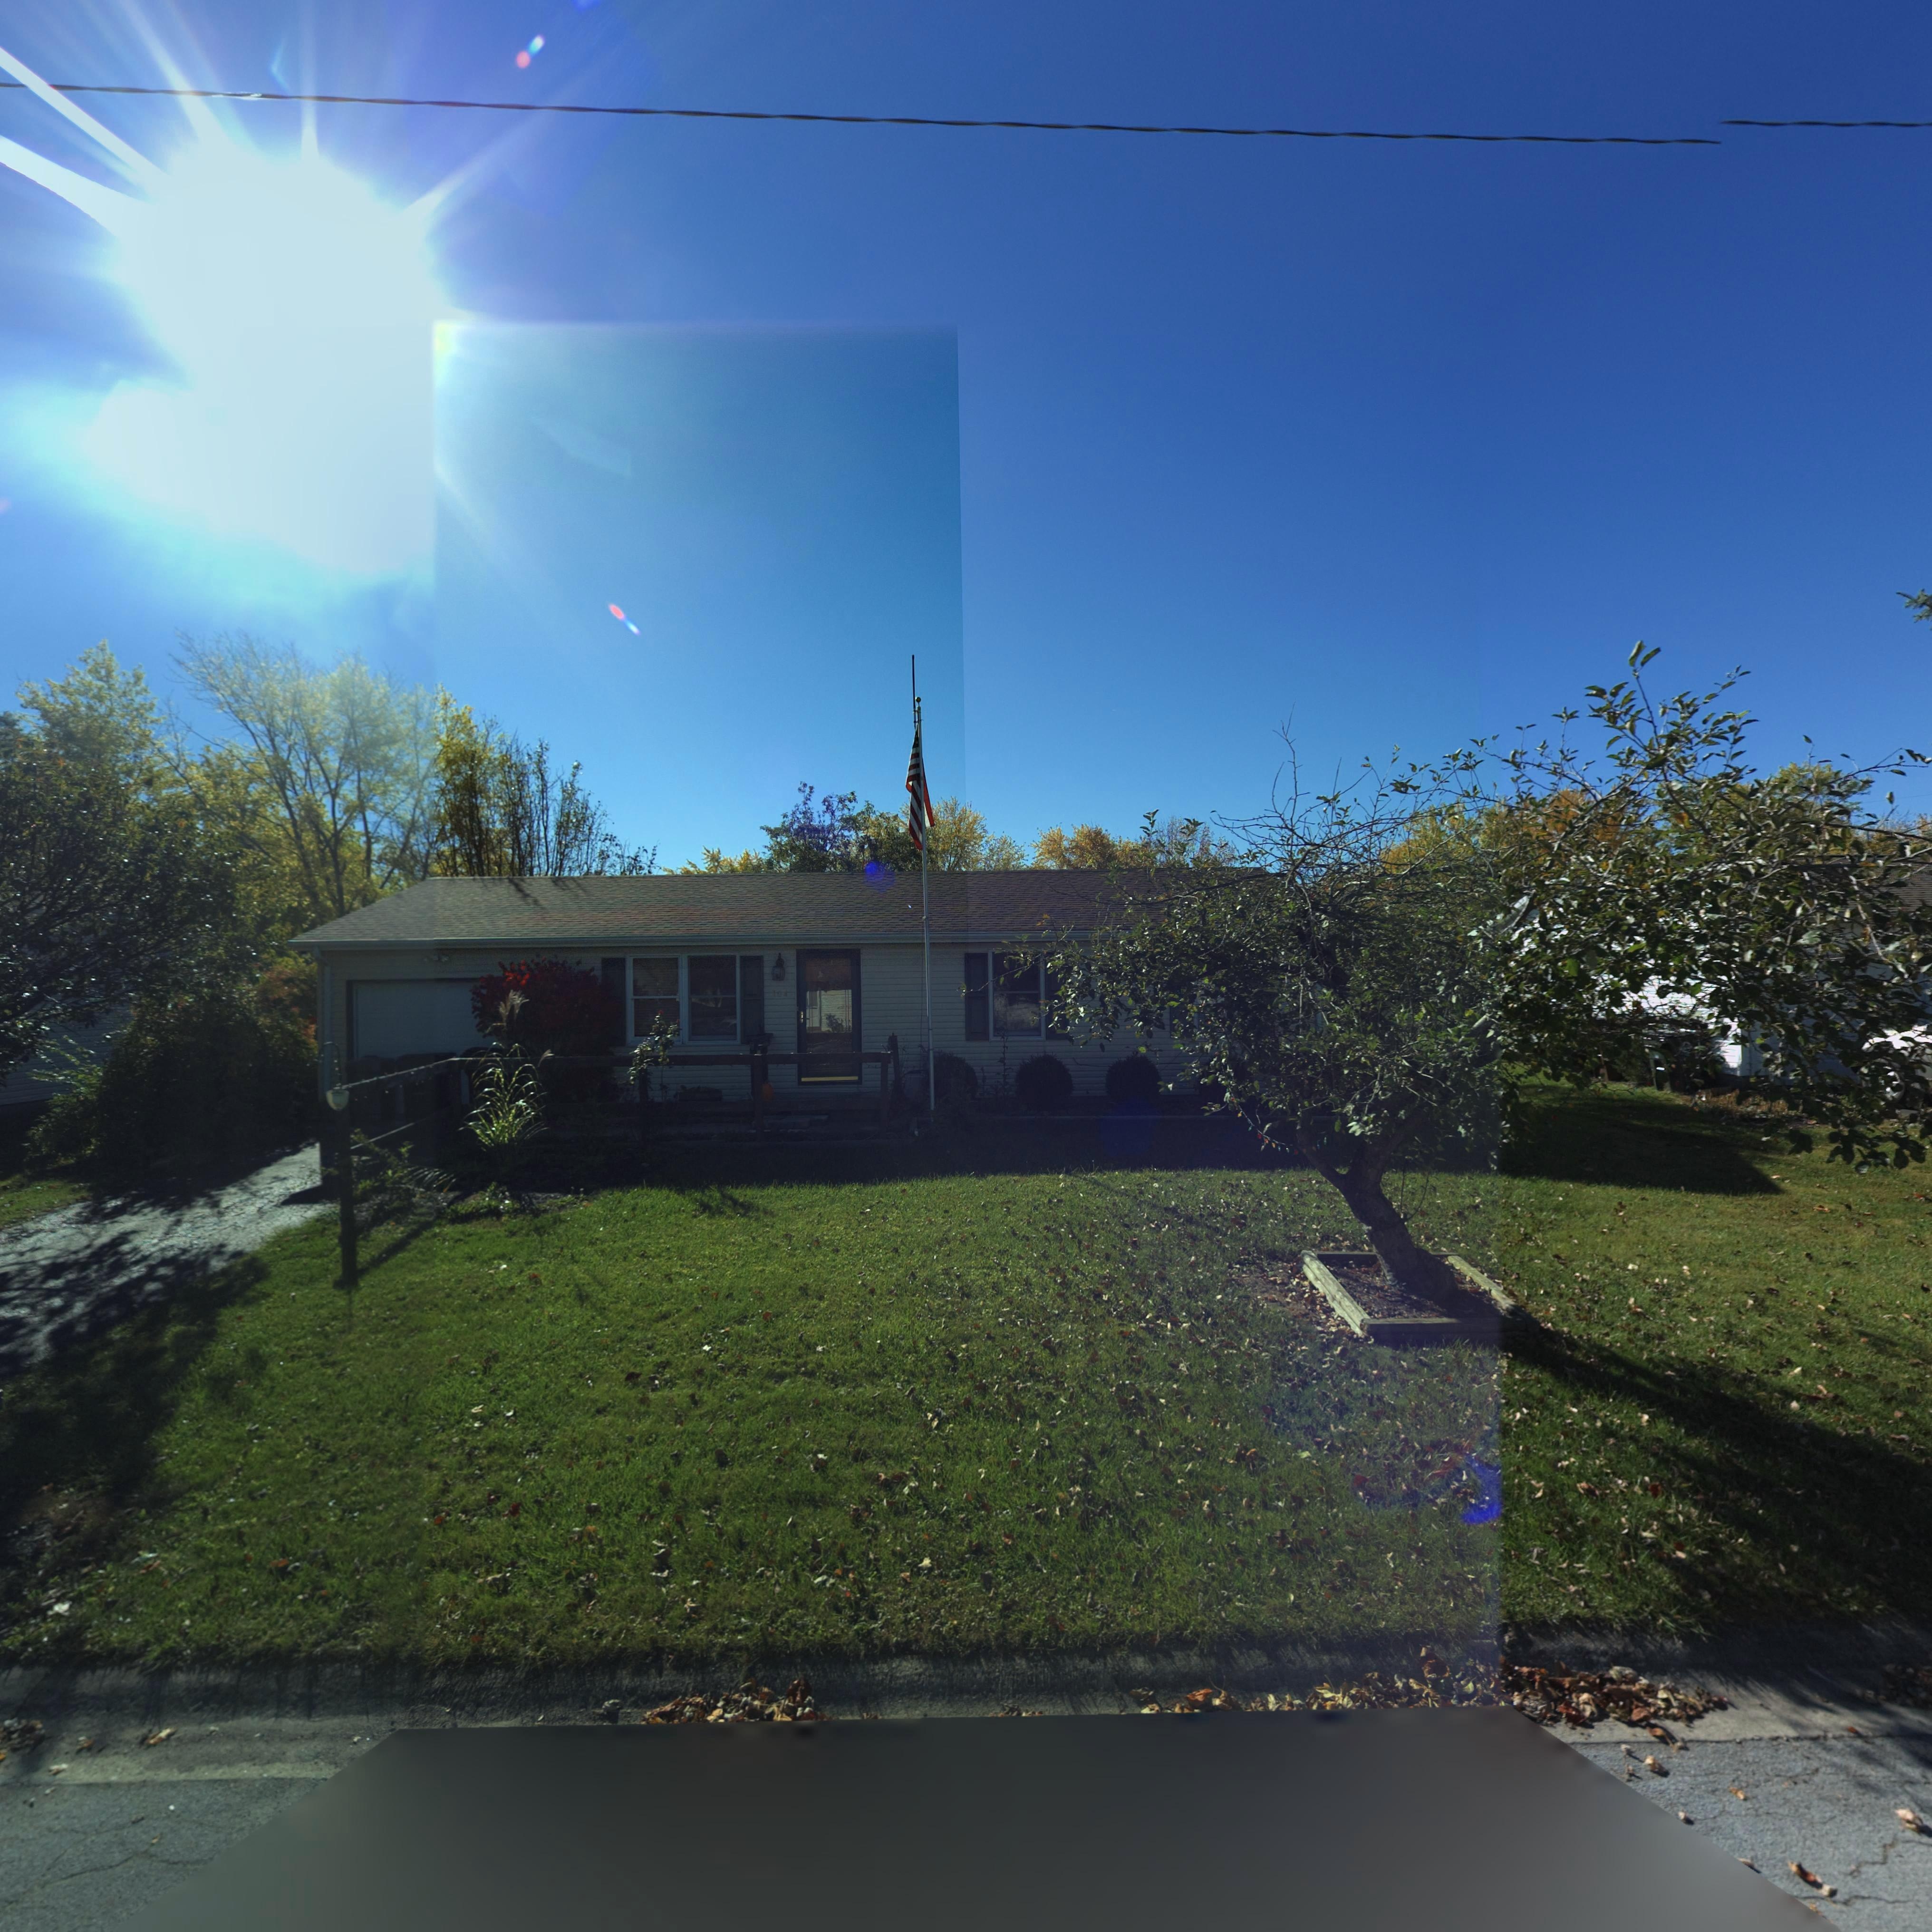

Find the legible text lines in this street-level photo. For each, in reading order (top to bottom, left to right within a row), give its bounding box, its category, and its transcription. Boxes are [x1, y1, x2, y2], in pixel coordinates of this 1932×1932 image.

[772, 989, 789, 998] StreetNumber: 104